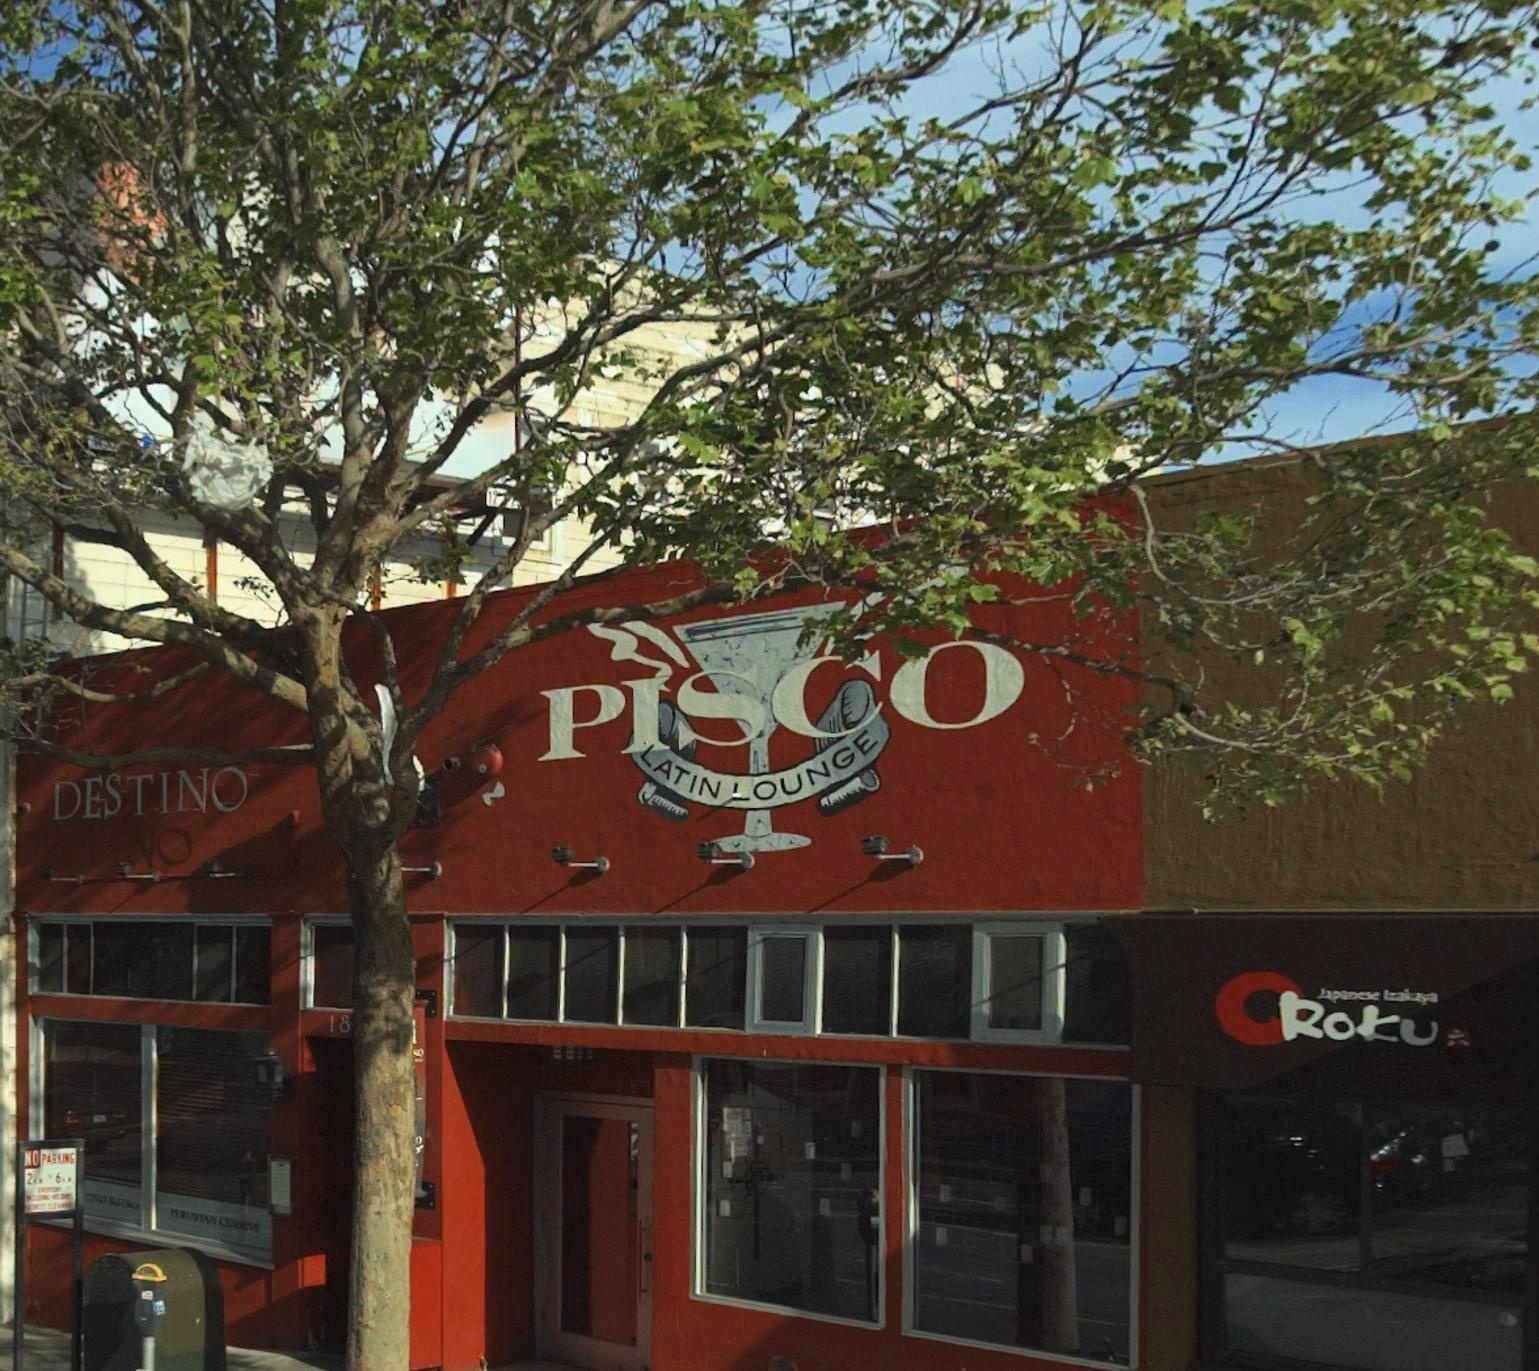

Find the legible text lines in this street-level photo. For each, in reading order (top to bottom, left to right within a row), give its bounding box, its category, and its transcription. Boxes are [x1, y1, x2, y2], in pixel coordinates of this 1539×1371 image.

[529, 623, 1031, 770] BusinessName: PISCO
[48, 761, 252, 824] None: DESTINO
[634, 725, 884, 805] None: LATIN LOUNGE
[326, 1010, 354, 1036] StreetNumber: 18
[1273, 983, 1444, 1051] BusinessName: Roku
[24, 1170, 36, 1187] None: 2
[22, 1147, 77, 1169] None: NO PARKING
[53, 1169, 64, 1186] None: 6